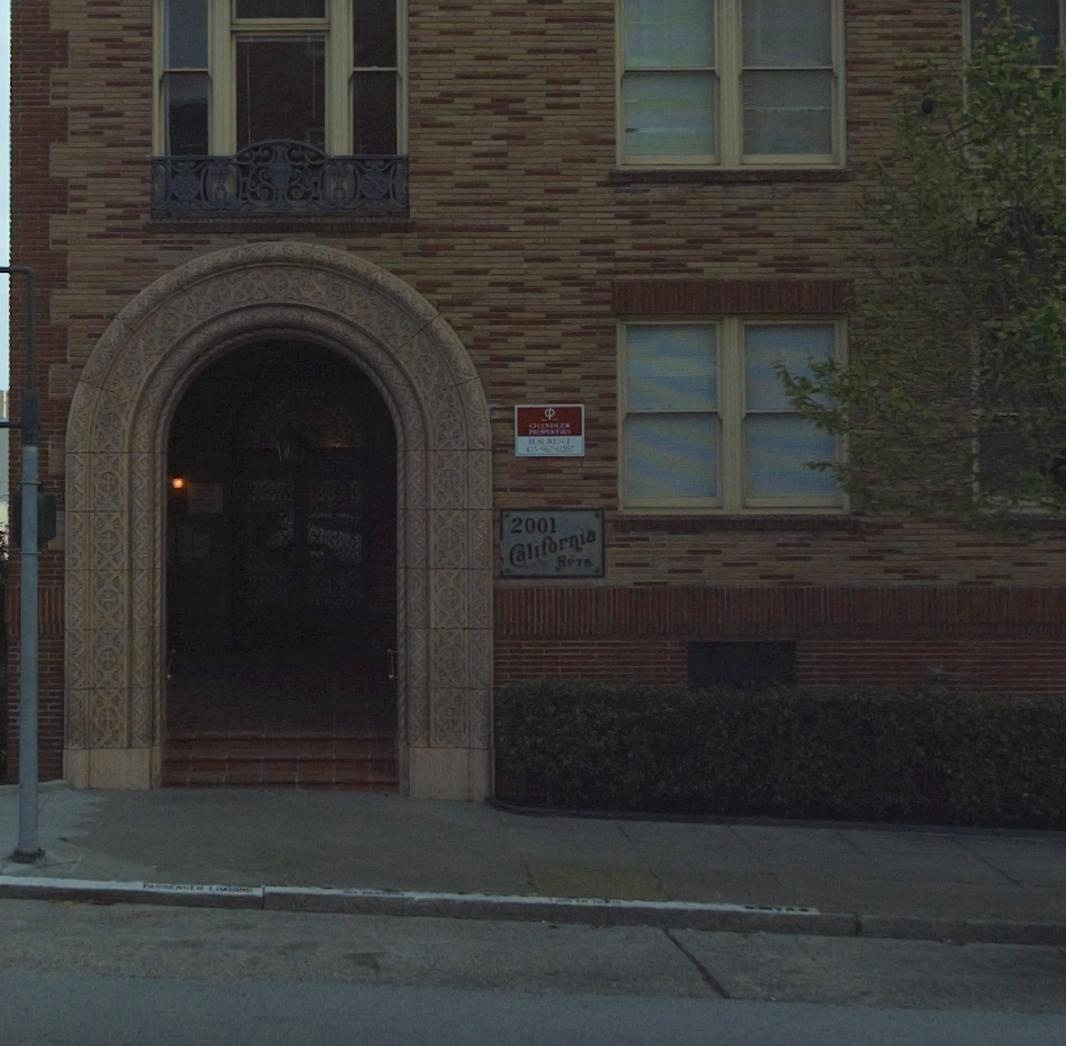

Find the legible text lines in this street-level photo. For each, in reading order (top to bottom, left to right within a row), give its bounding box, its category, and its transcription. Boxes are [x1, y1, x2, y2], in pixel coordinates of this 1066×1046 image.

[509, 515, 559, 536] StreetNumber: 2001
[506, 525, 600, 571] None: California
[552, 551, 594, 575] None: APTS